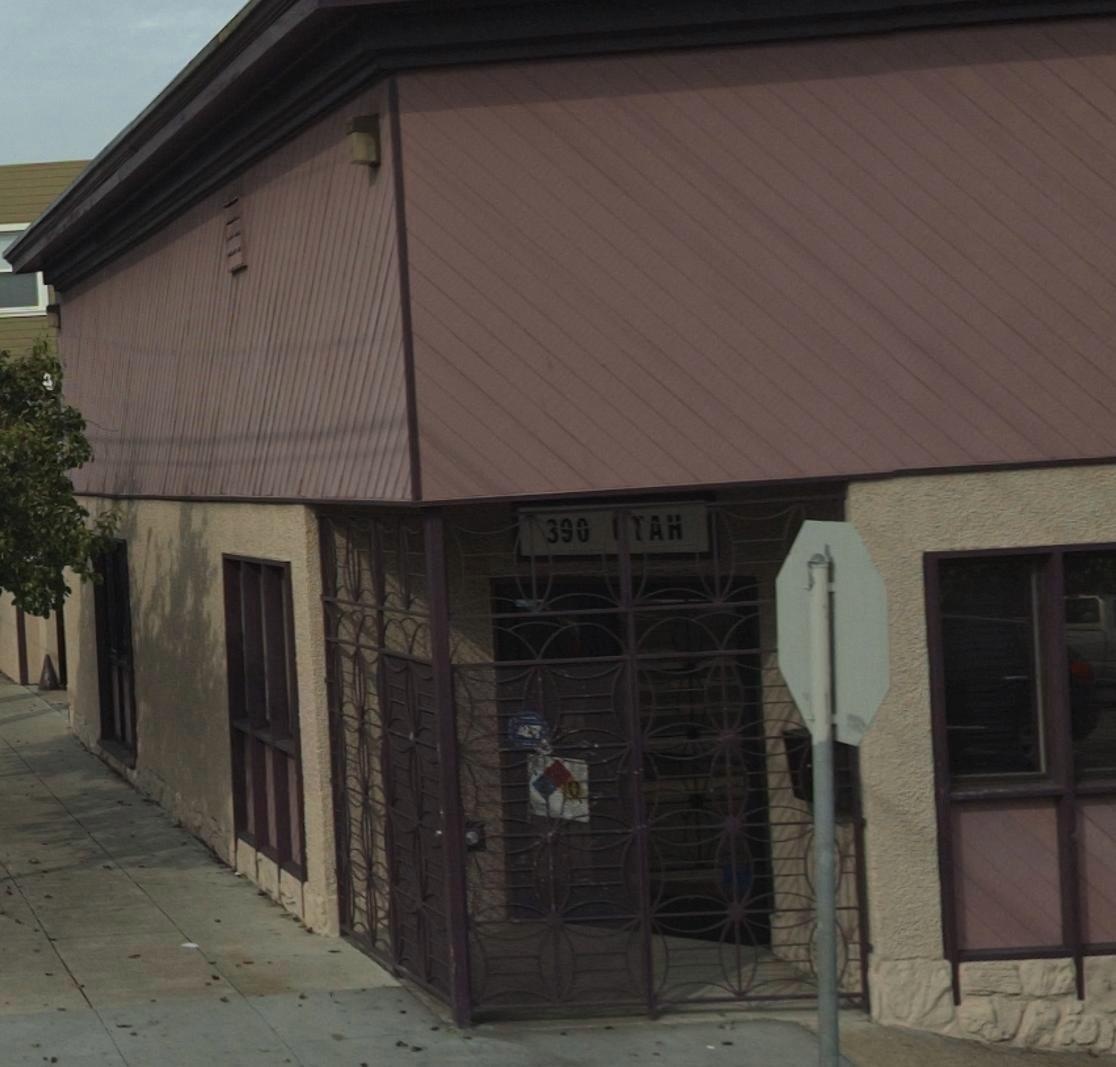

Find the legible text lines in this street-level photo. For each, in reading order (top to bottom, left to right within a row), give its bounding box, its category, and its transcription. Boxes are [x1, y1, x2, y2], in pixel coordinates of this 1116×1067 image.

[544, 516, 592, 545] StreetNumber: 390
[629, 512, 685, 543] StreetName: TAH